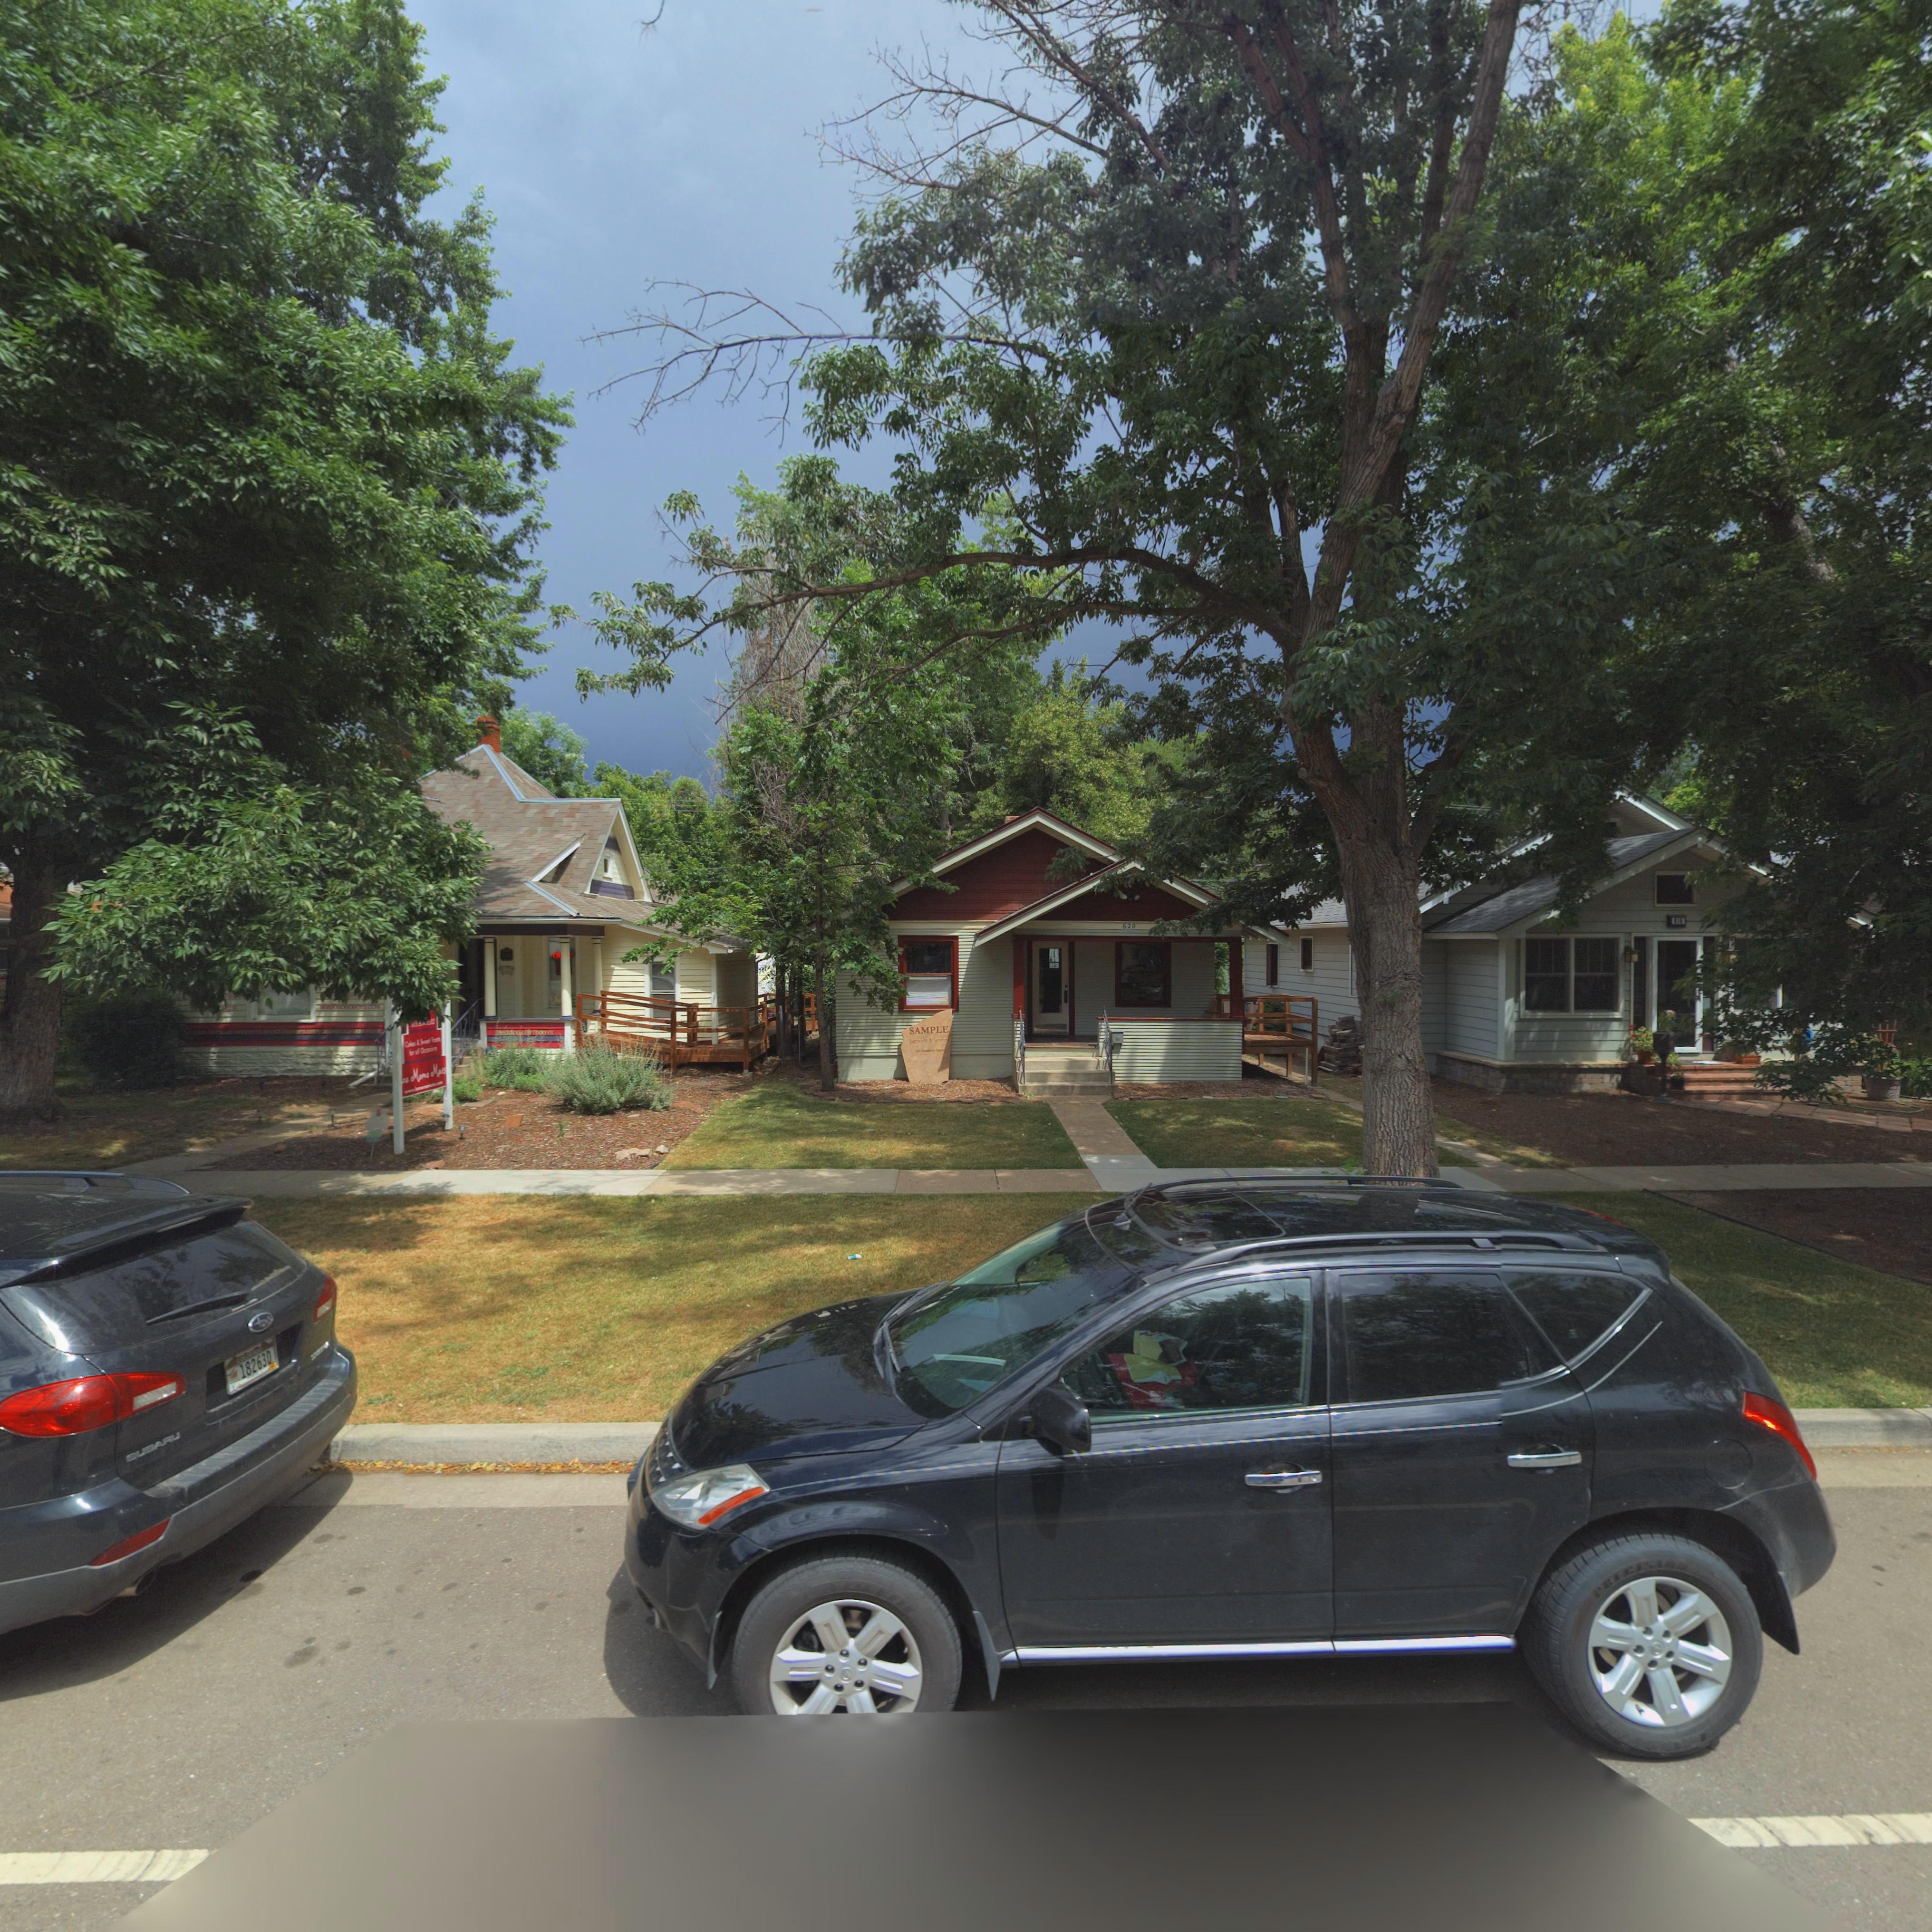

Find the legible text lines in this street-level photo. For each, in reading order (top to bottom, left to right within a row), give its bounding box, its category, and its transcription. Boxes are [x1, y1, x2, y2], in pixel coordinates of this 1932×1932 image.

[1122, 922, 1136, 928] StreetNumber: 620
[401, 1063, 446, 1084] BusinessName: *a Momo Maes